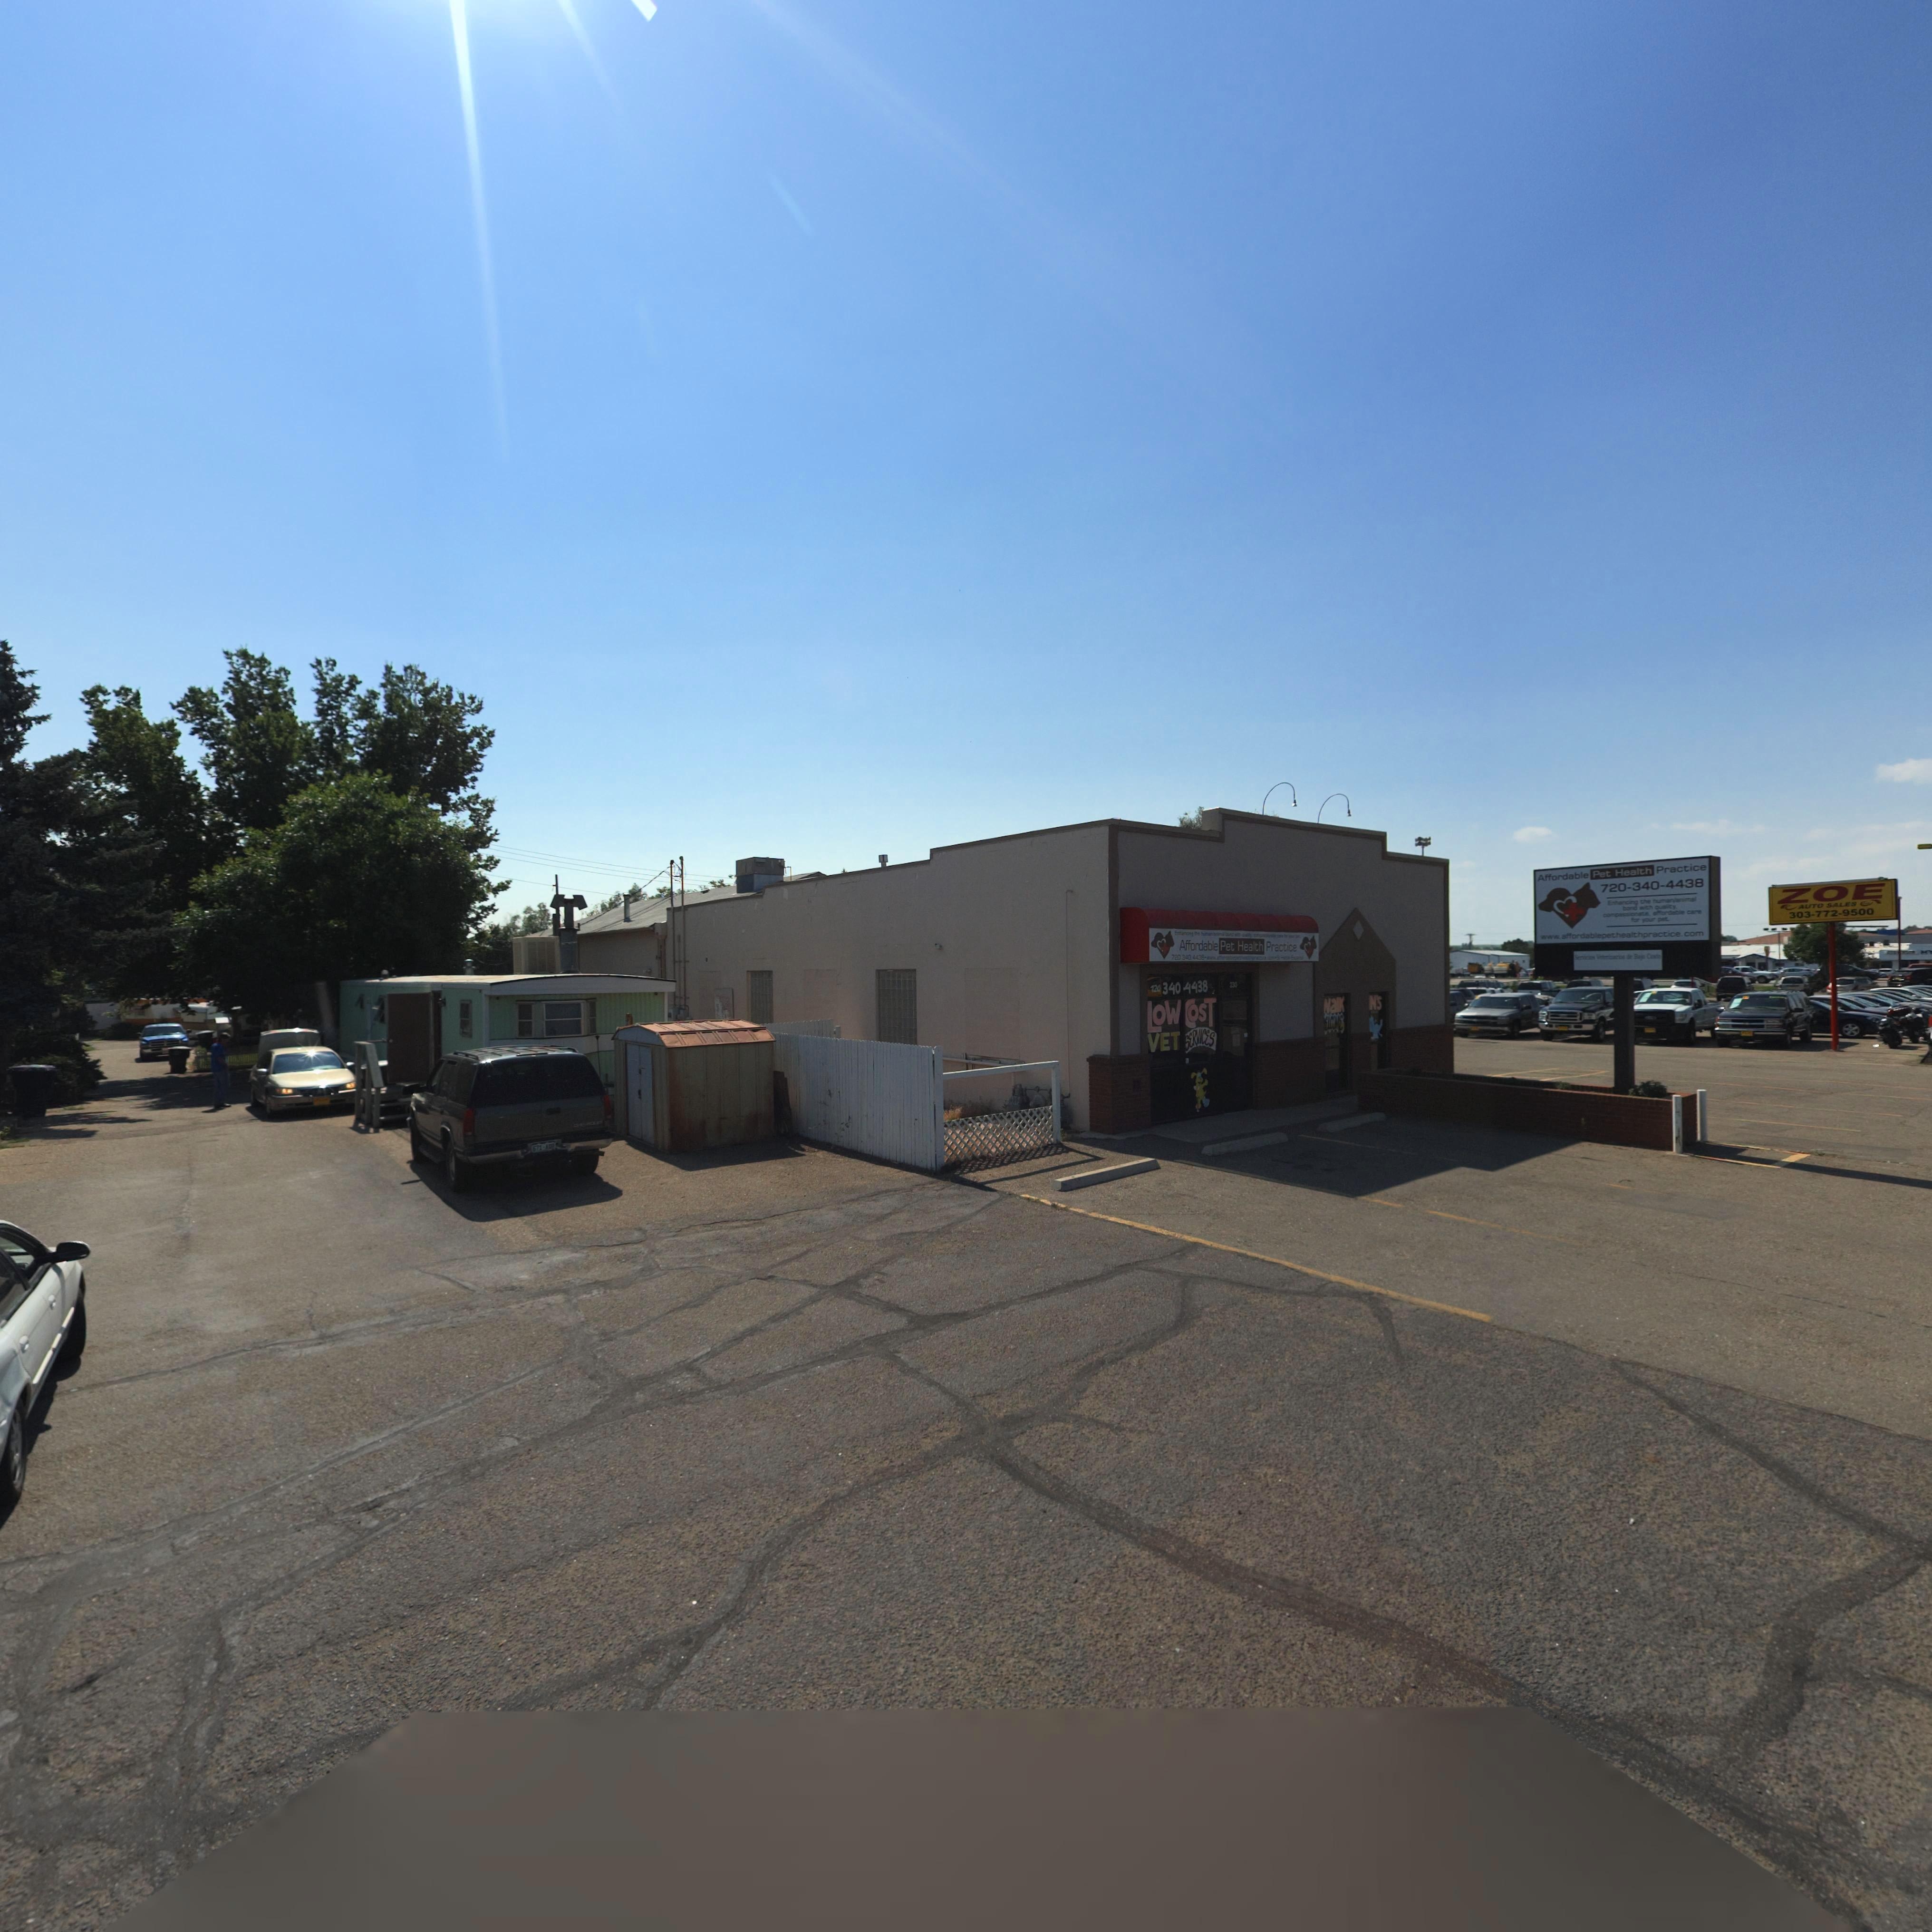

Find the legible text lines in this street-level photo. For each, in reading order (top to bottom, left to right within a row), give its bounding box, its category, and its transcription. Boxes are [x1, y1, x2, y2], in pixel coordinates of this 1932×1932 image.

[1536, 863, 1707, 881] BusinessName: Affordable Pet Health Practice
[1776, 882, 1886, 905] BusinessName: ZOE
[1797, 901, 1857, 909] BusinessName: AUTO SALES
[1178, 939, 1297, 952] BusinessName: Affordable Pet Health Practice